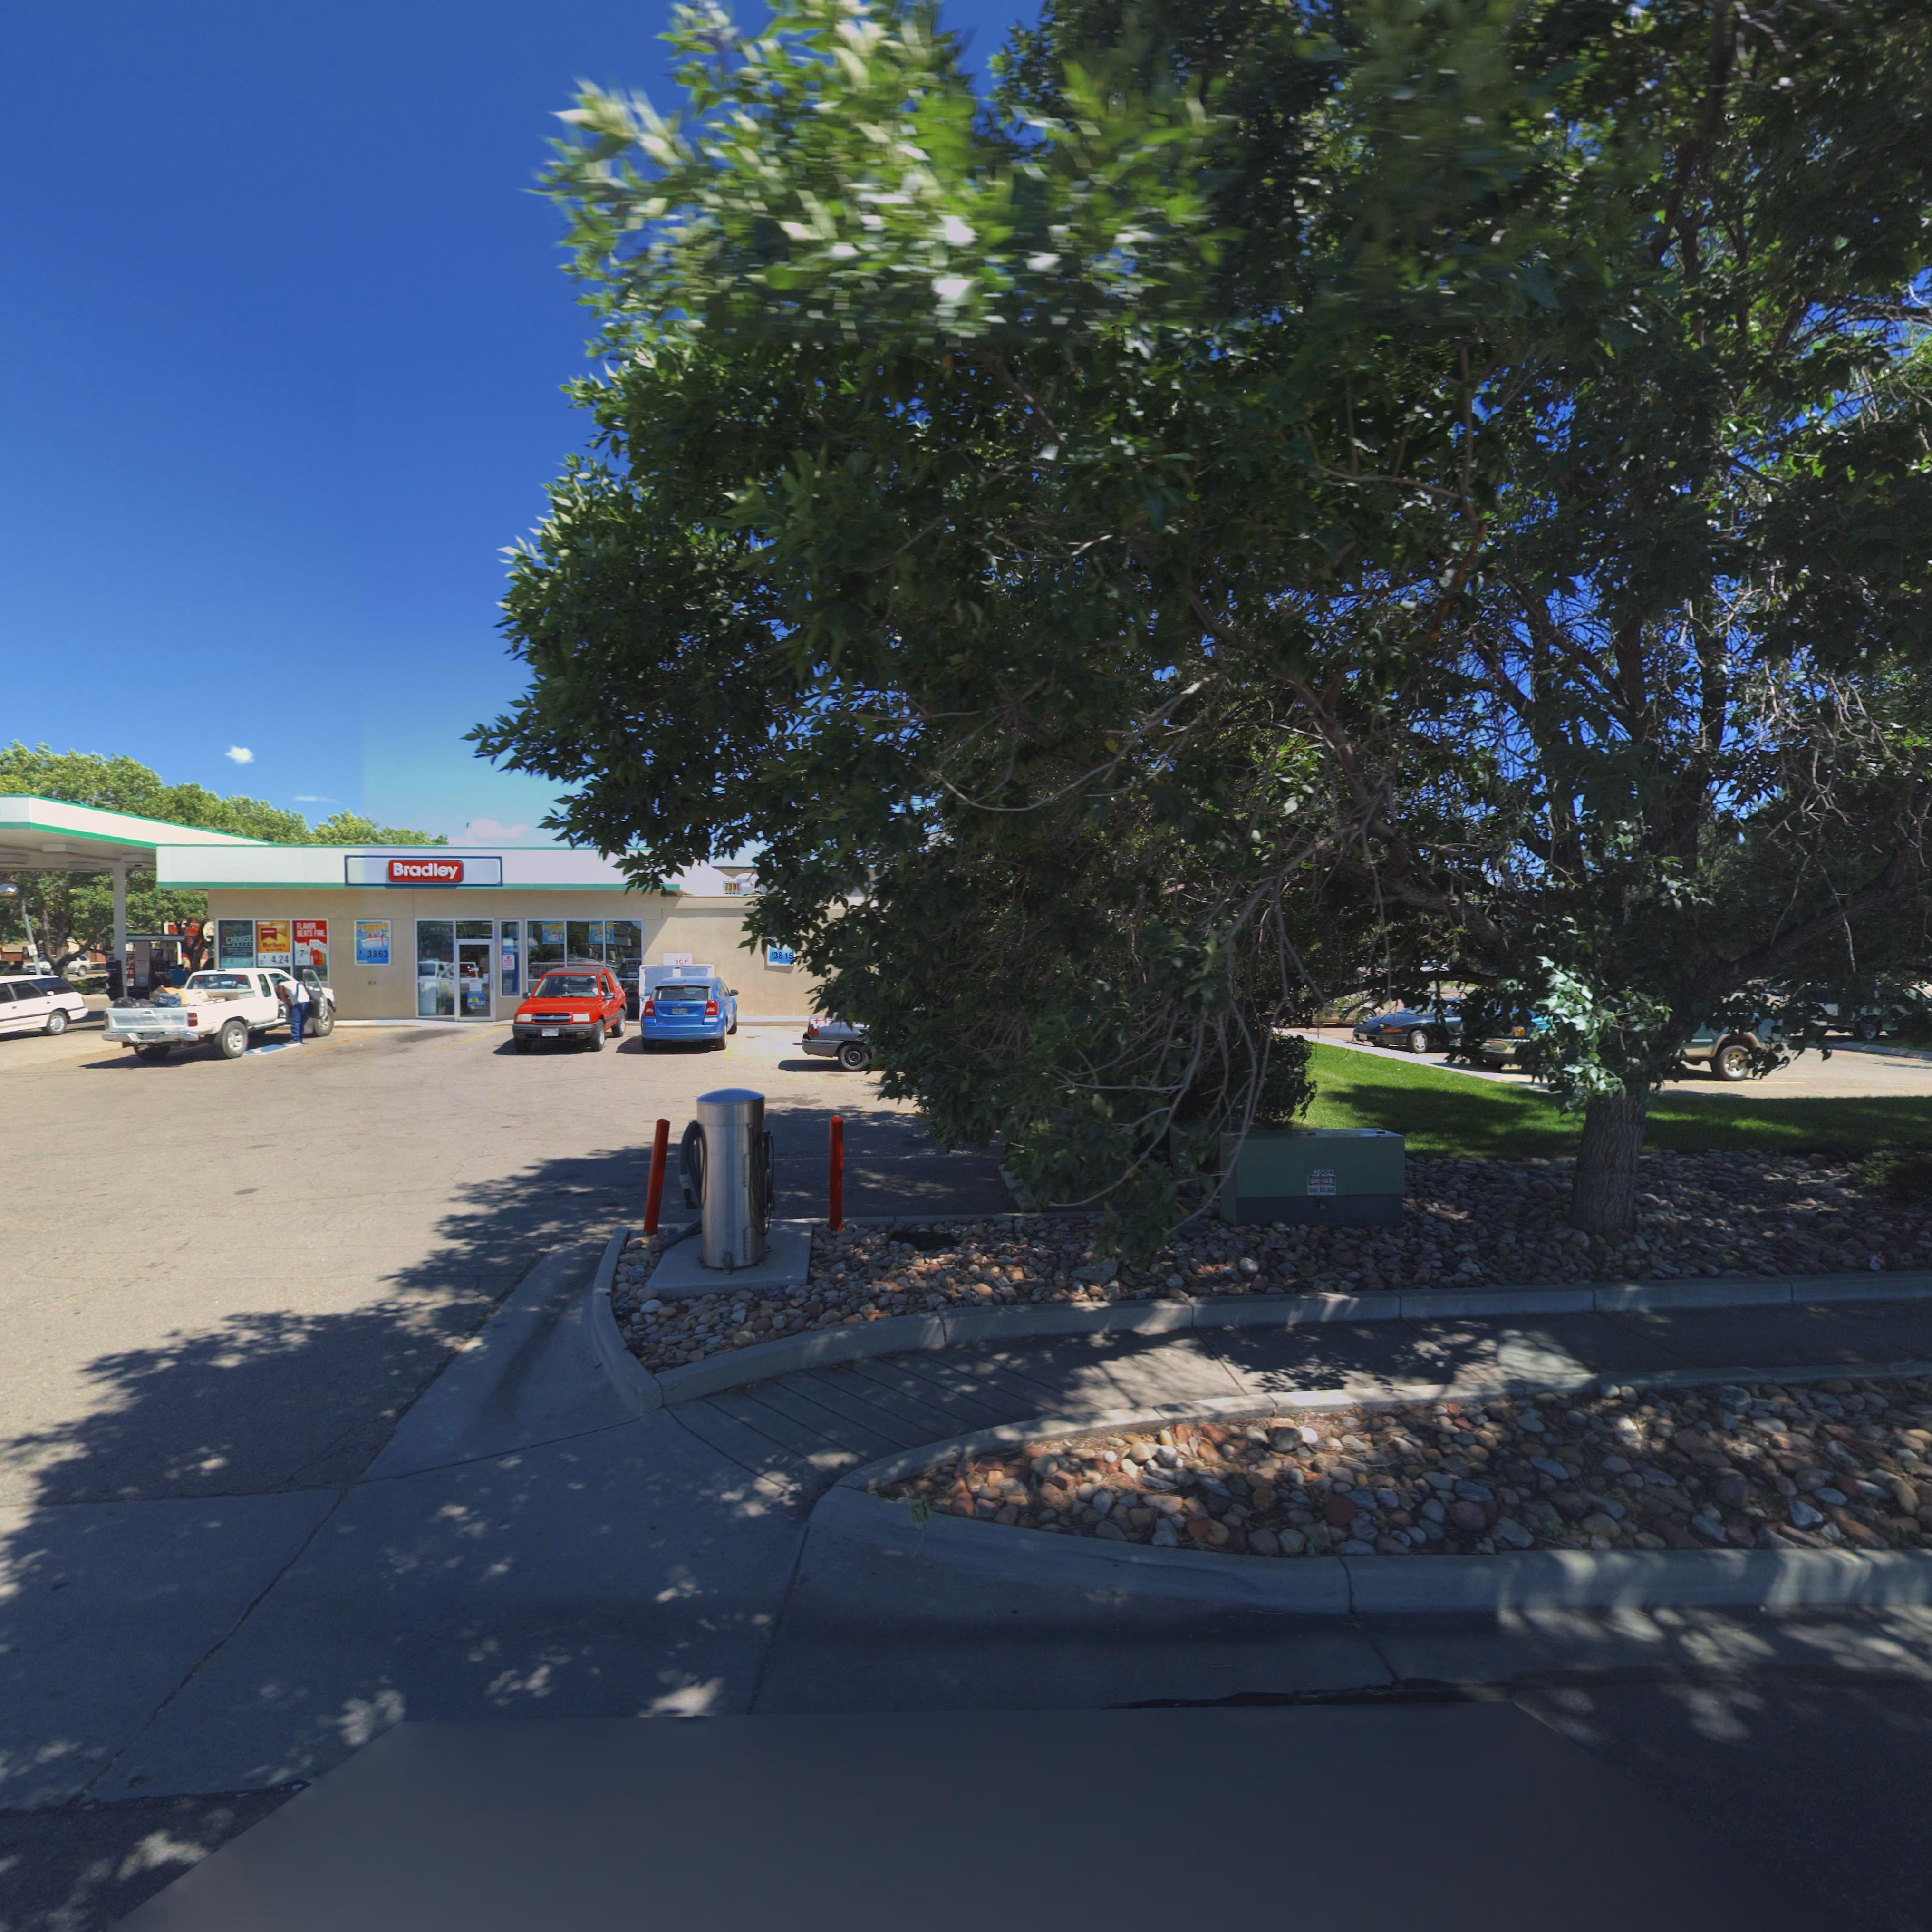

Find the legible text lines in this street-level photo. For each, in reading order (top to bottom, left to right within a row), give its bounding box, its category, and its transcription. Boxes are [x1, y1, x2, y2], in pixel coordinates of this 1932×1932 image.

[393, 862, 458, 879] BusinessName: Bradley